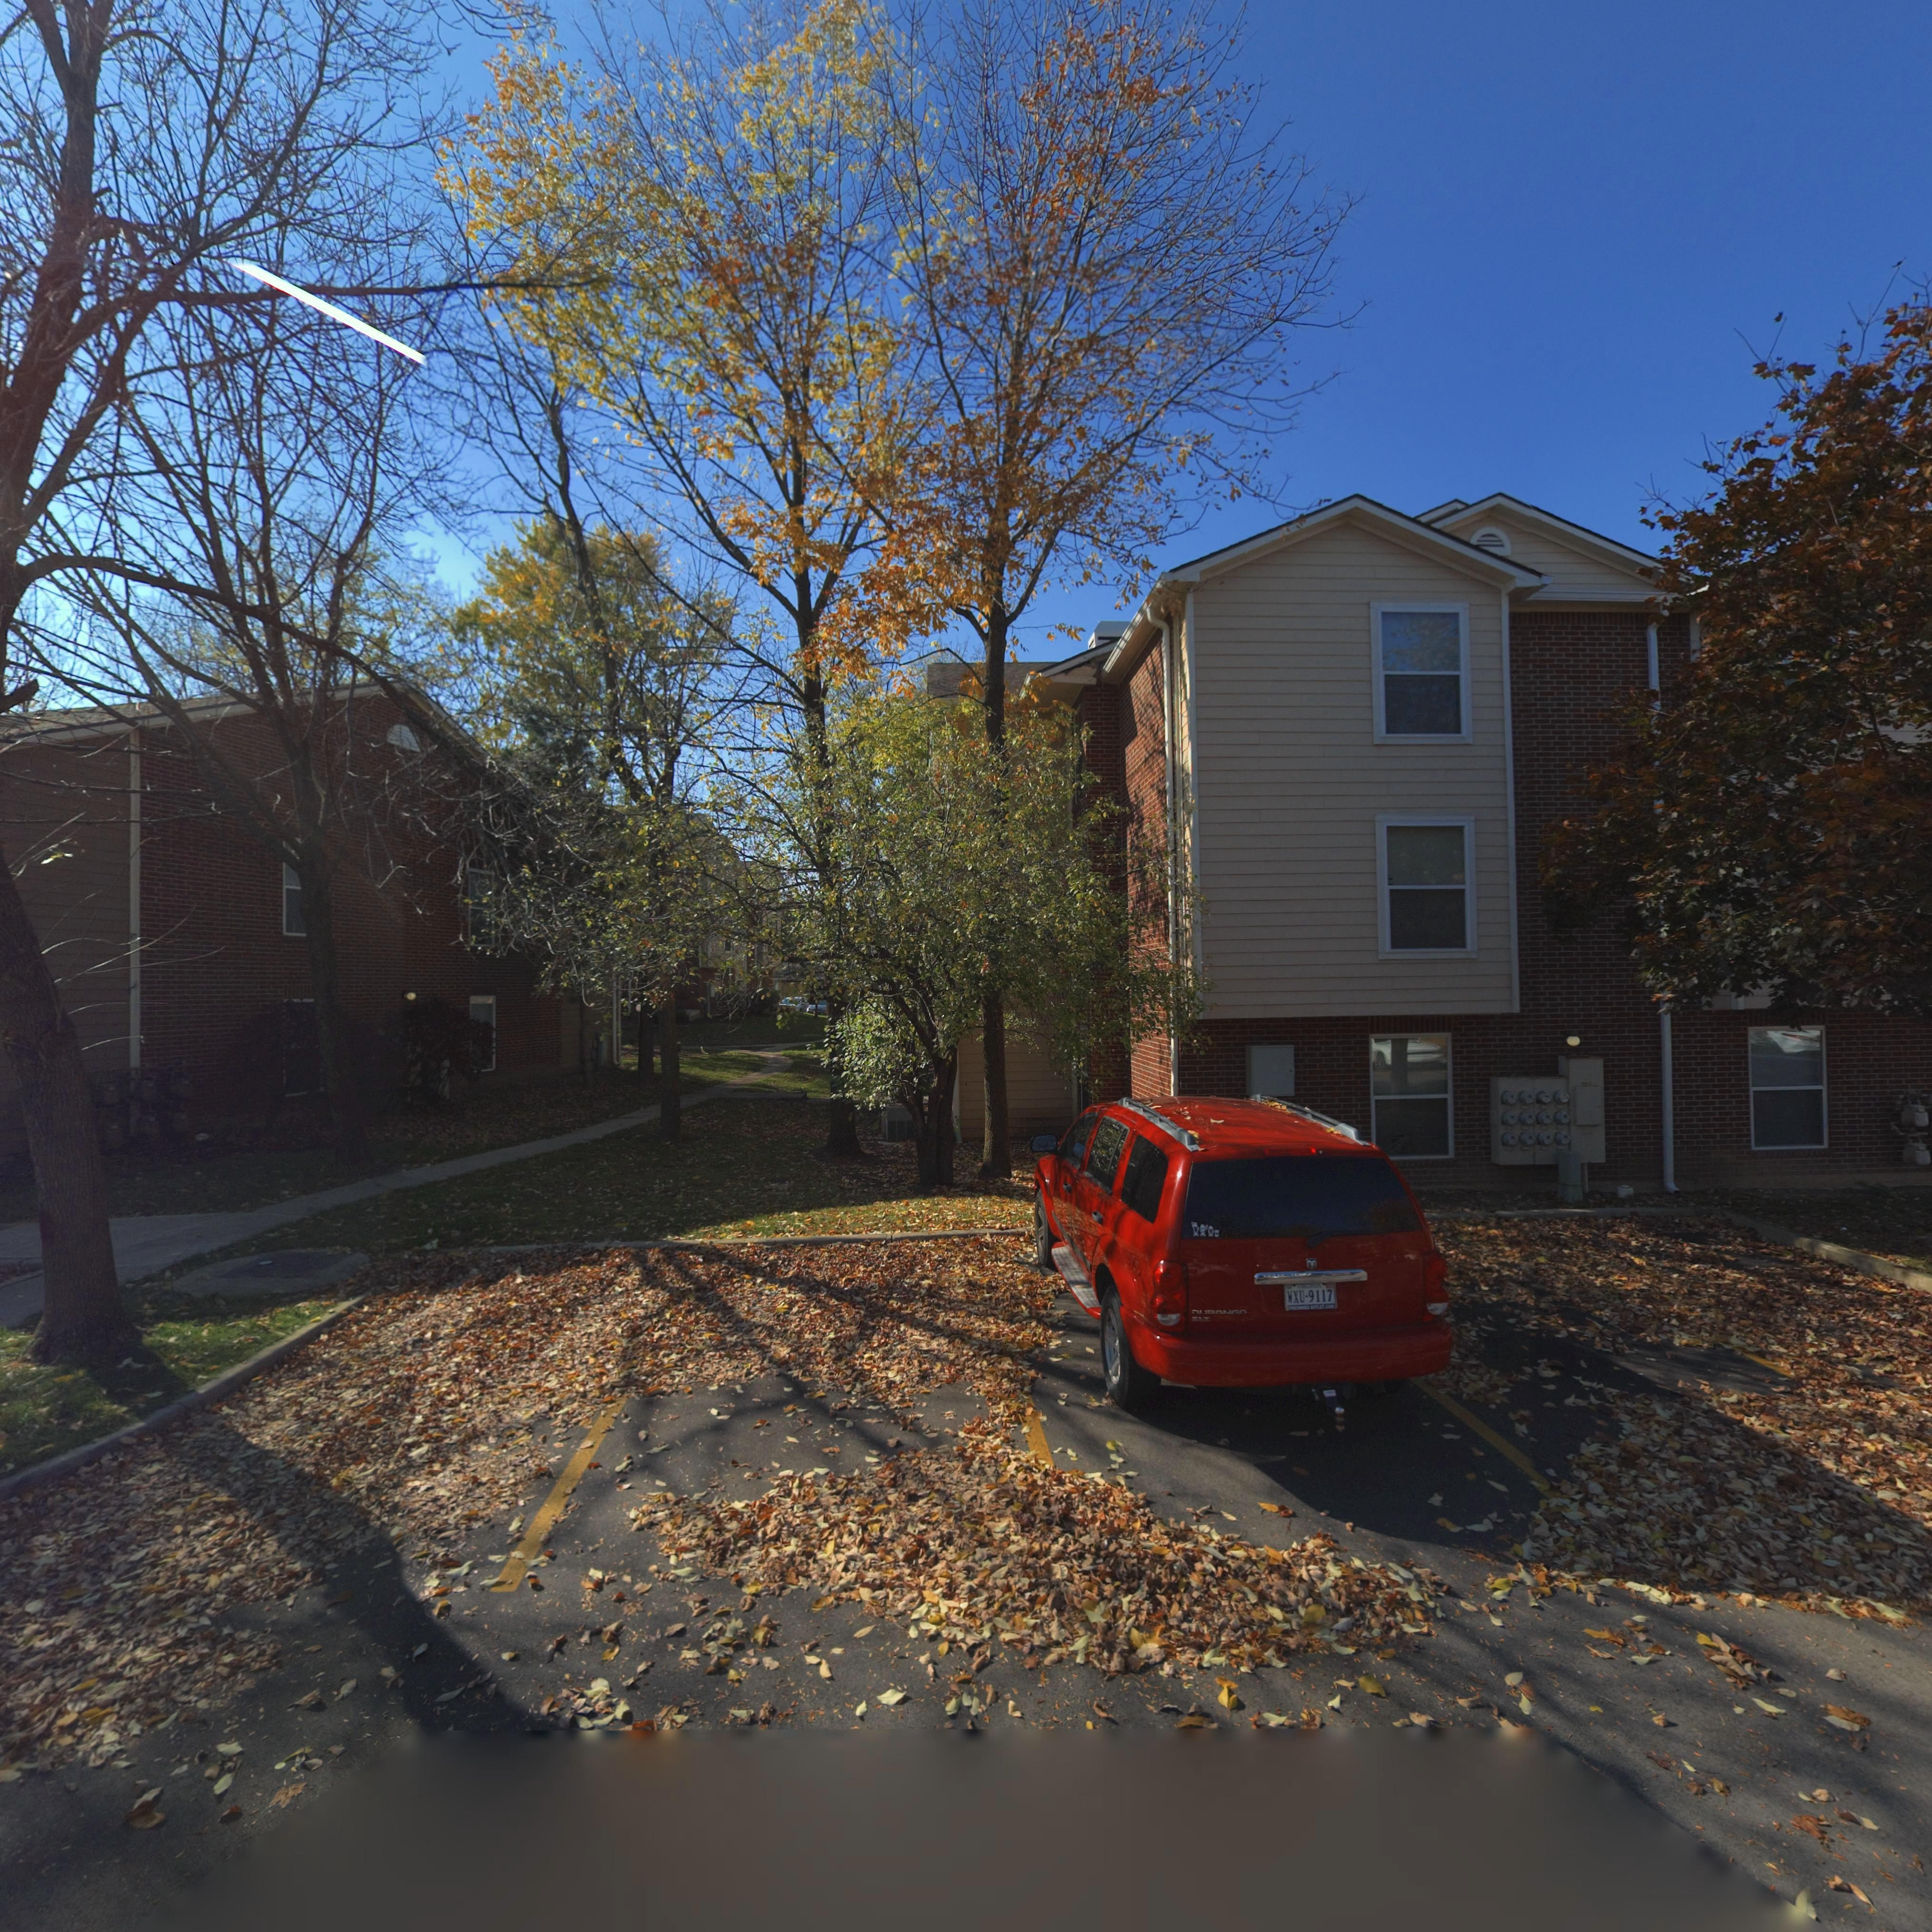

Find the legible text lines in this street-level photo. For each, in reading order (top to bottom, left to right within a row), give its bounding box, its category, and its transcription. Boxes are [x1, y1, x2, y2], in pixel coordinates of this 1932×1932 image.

[1285, 1288, 1334, 1305] None: WXU-9117